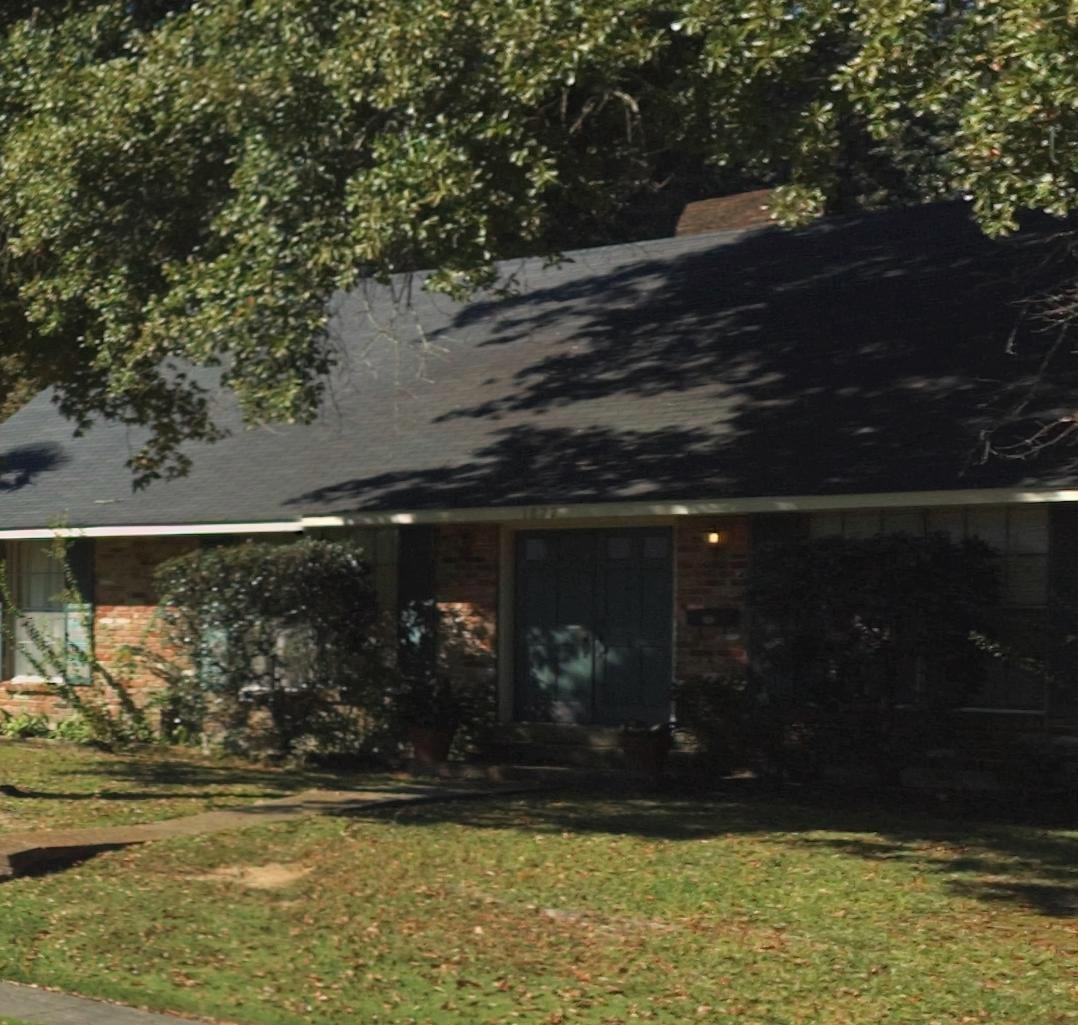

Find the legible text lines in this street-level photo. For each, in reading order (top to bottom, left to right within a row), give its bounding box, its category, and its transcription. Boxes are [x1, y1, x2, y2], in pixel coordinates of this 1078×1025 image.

[522, 505, 559, 521] StreetNumber: 18**